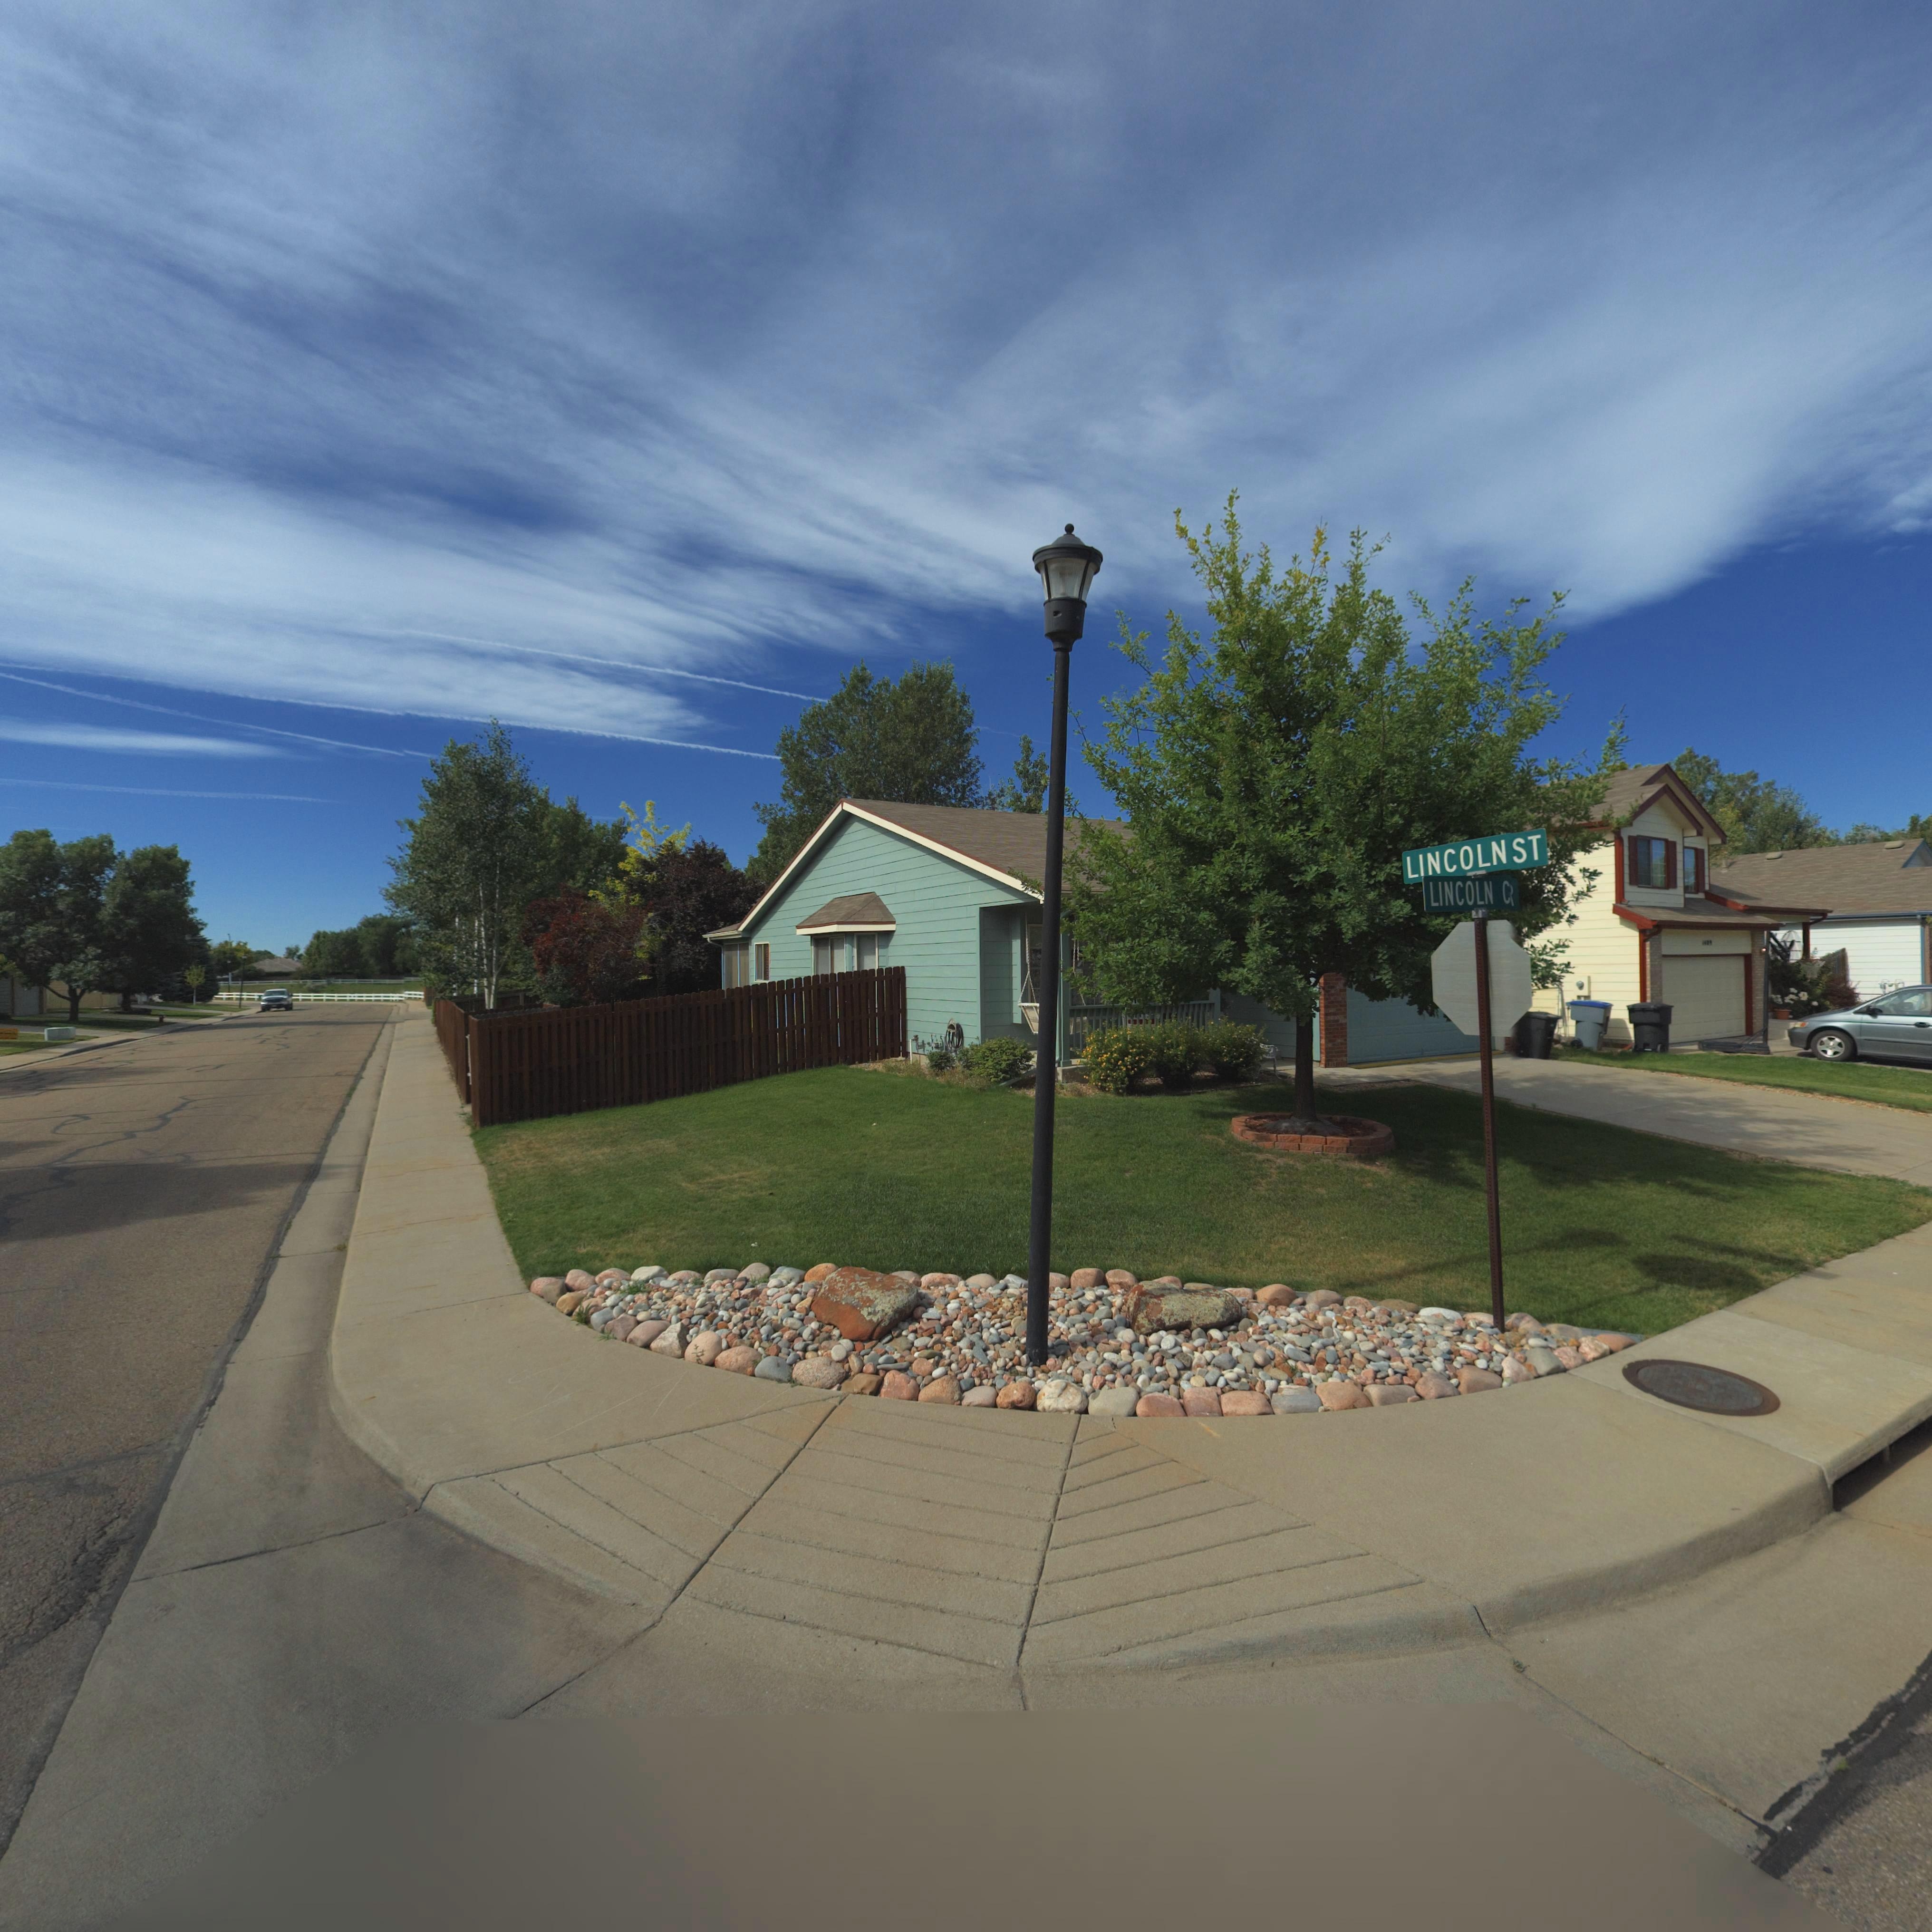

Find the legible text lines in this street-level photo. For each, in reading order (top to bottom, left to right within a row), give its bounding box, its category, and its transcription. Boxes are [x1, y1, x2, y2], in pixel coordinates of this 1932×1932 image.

[1406, 833, 1541, 879] StreetName: LINCOLN ST
[1429, 879, 1511, 907] StreetName: LINCOLN C
[1701, 938, 1712, 946] StreetNumber: 14*9